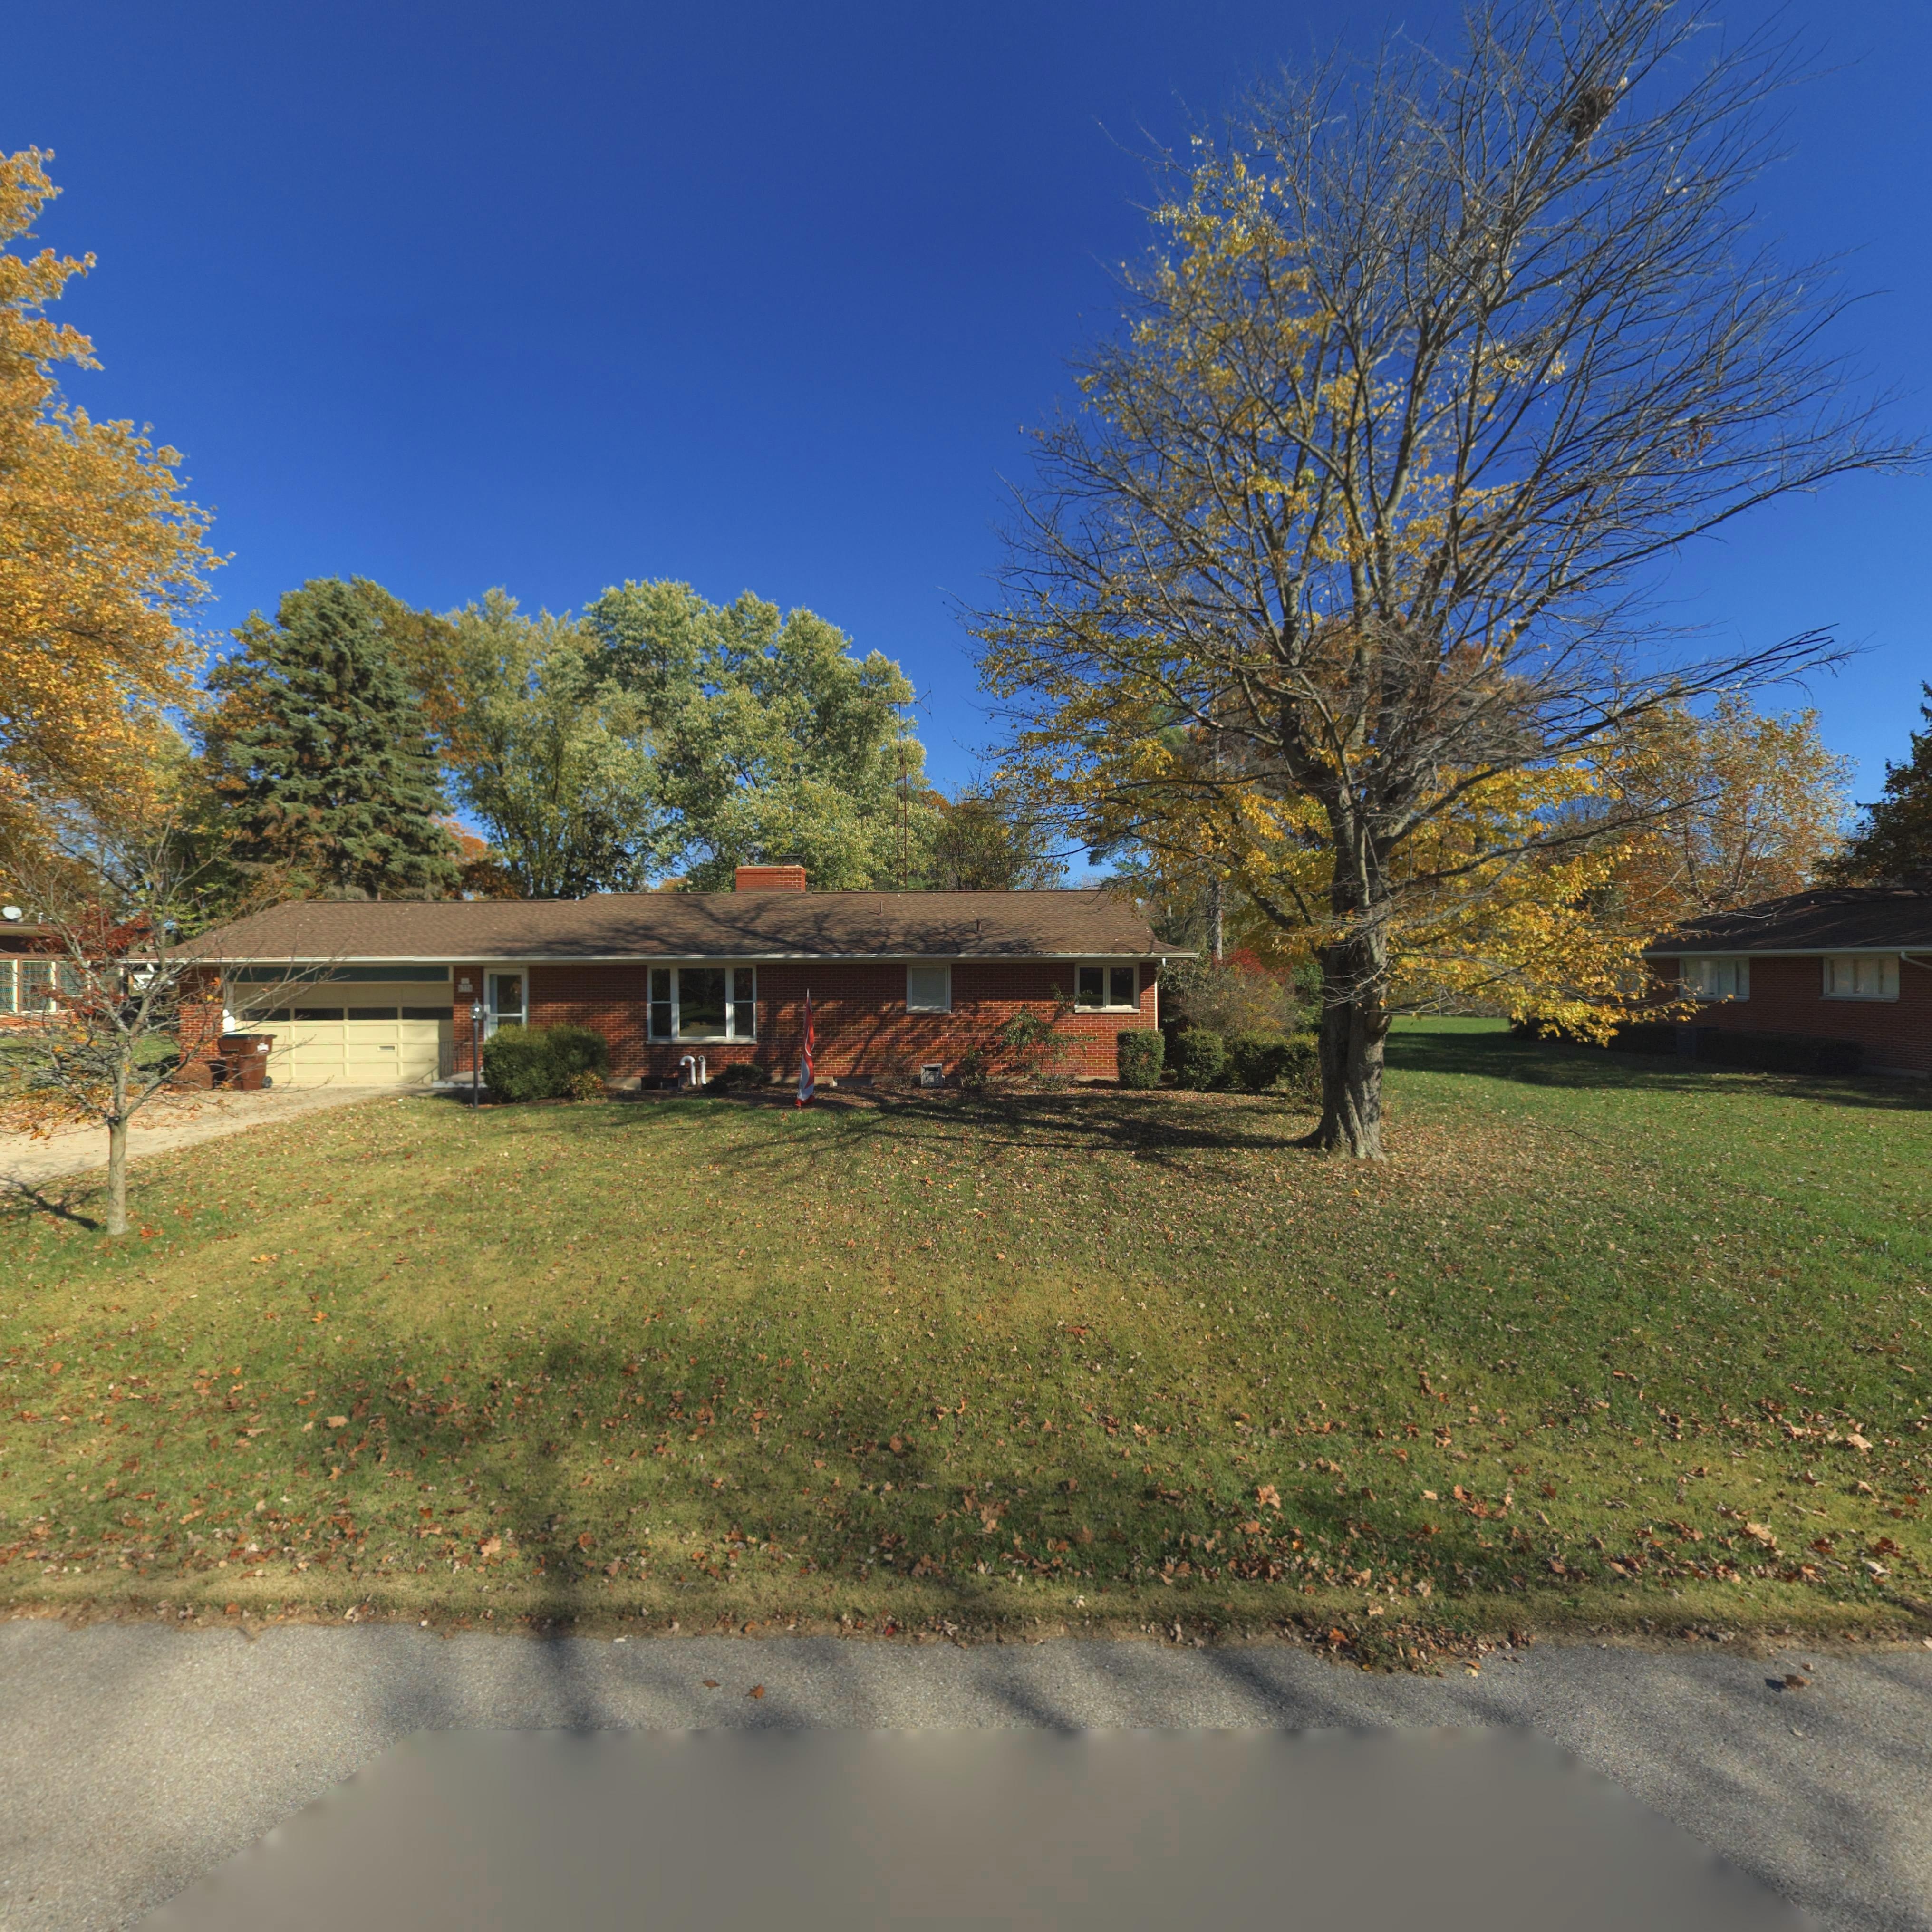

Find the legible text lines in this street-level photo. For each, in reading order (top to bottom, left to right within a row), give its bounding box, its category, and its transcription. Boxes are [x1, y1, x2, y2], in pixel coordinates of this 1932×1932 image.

[458, 985, 473, 992] StreetNumber: 6376